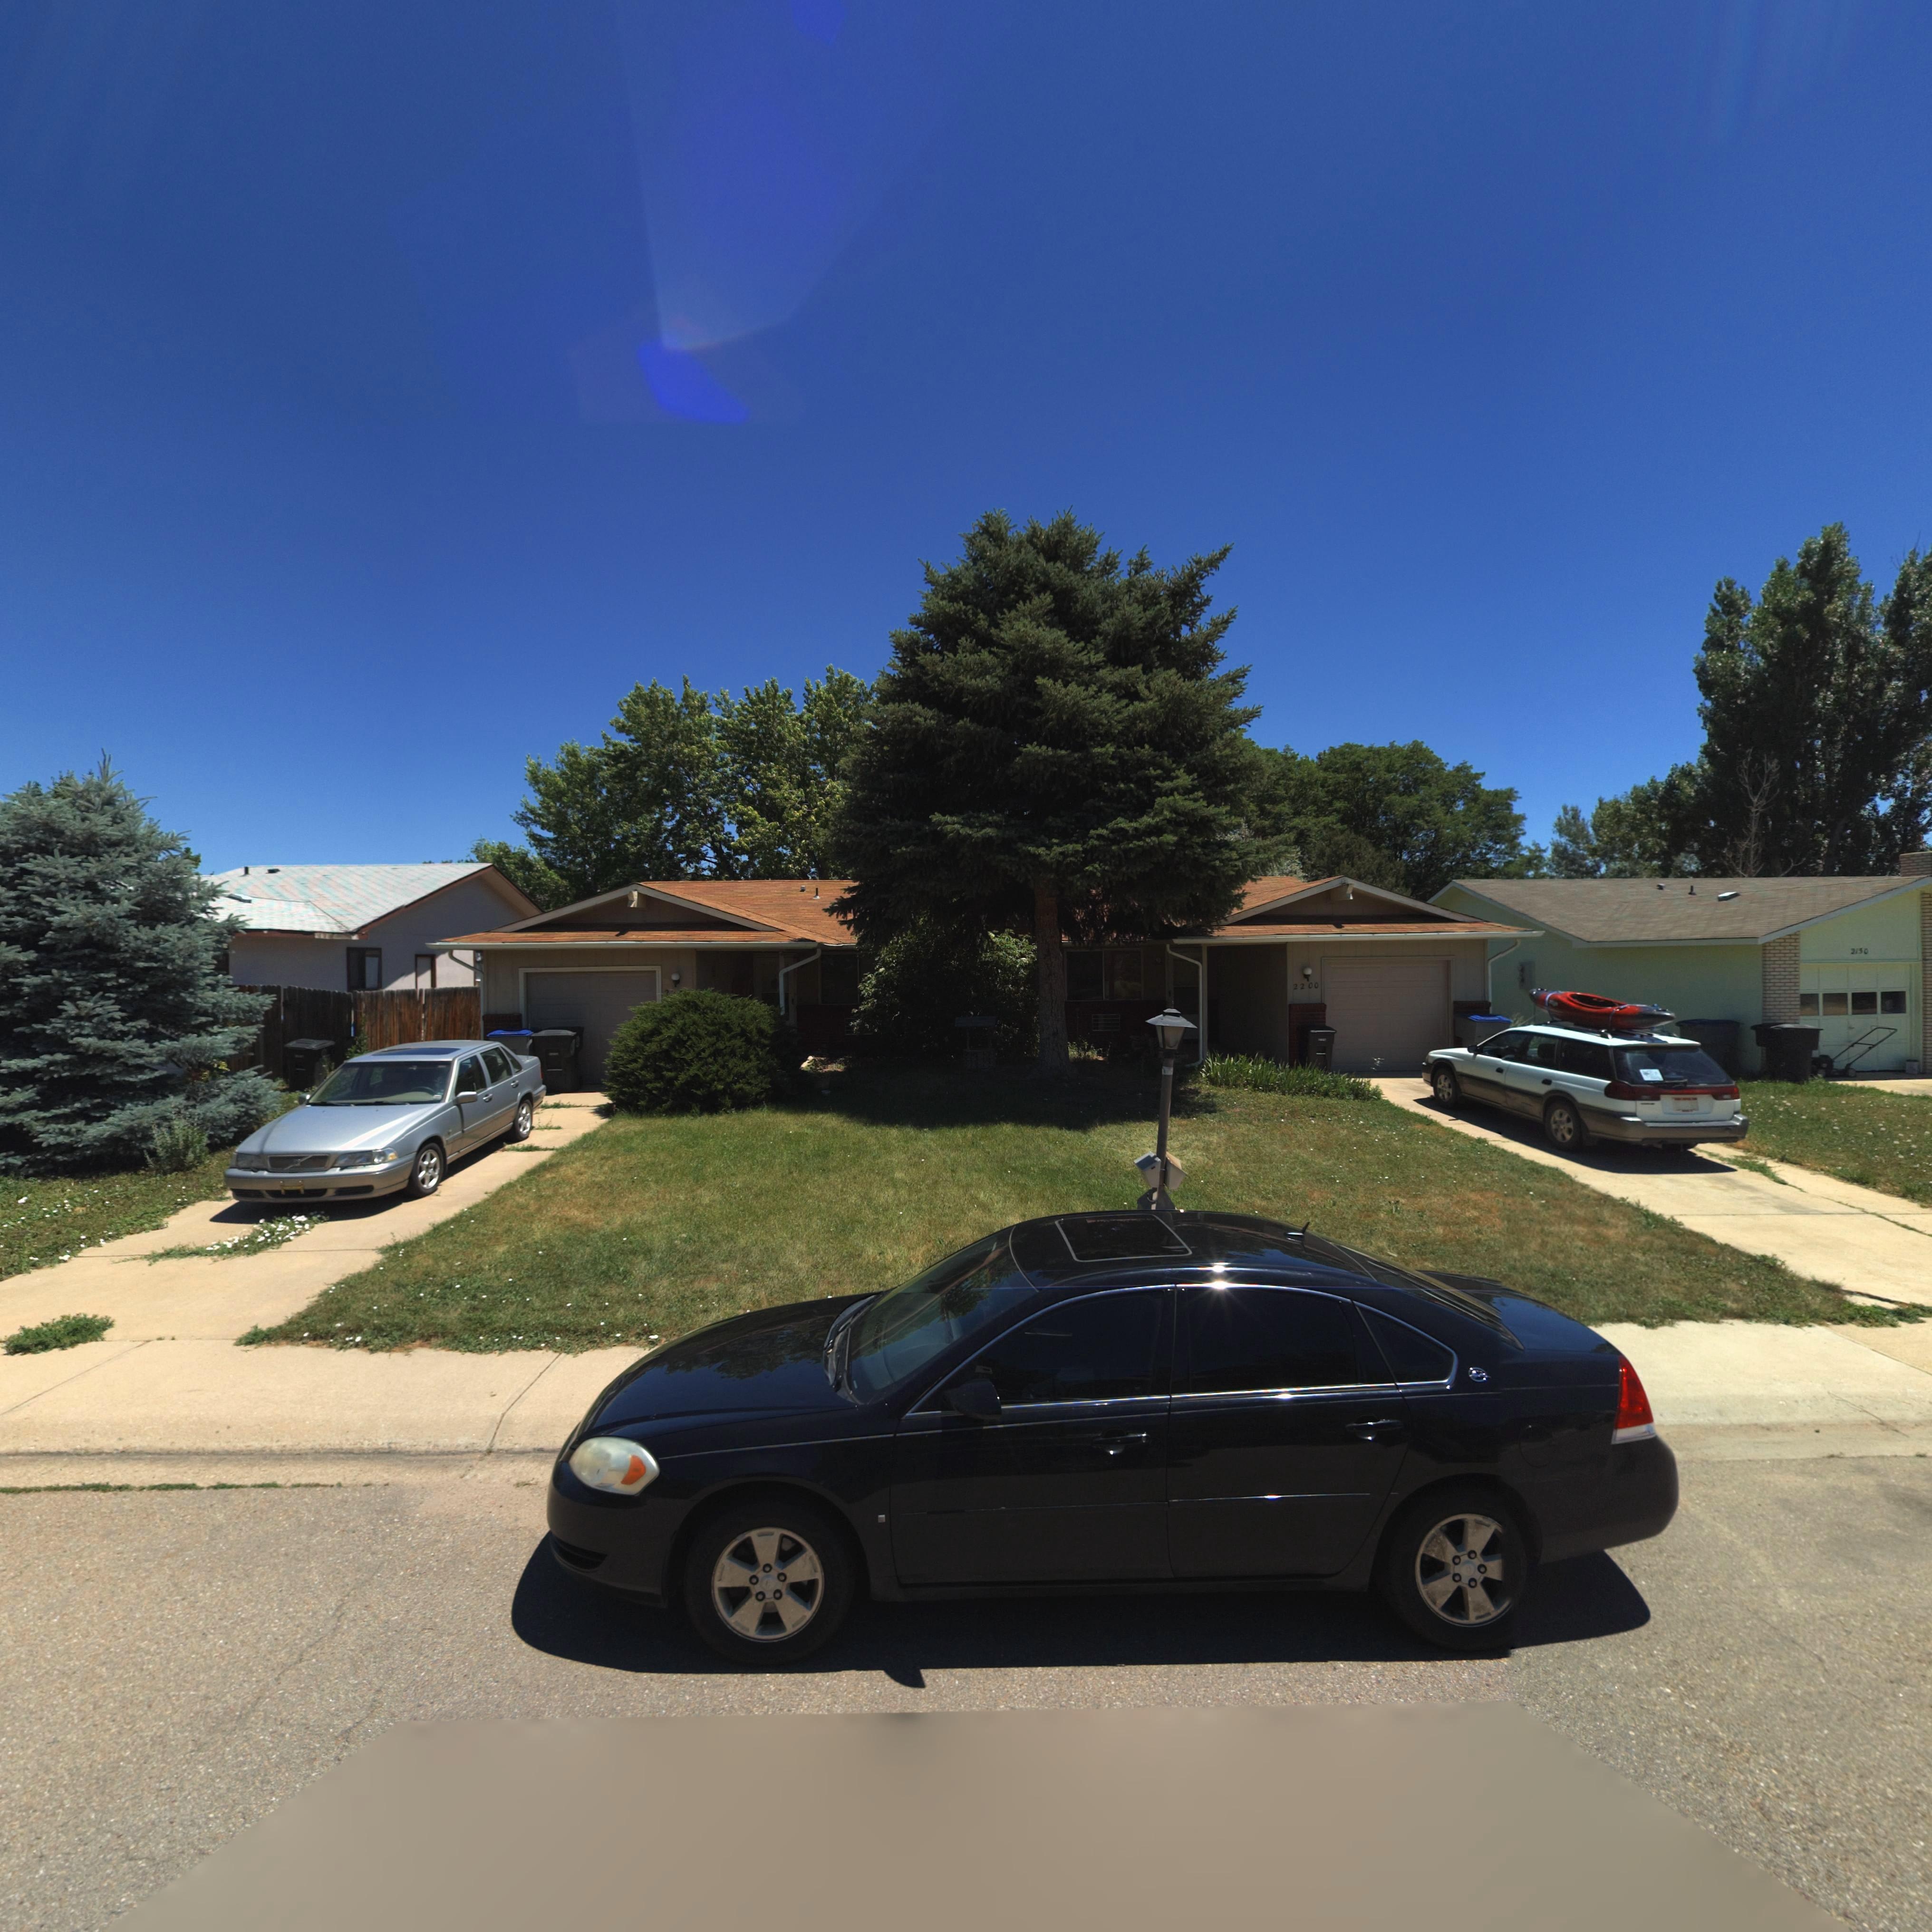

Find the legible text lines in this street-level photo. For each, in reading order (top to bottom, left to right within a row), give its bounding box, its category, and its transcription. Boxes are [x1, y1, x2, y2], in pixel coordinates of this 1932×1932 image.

[1850, 947, 1869, 955] StreetNumber: 2150
[1293, 982, 1319, 990] StreetNumber: 2200
[664, 988, 685, 996] StreetNumber: 2**